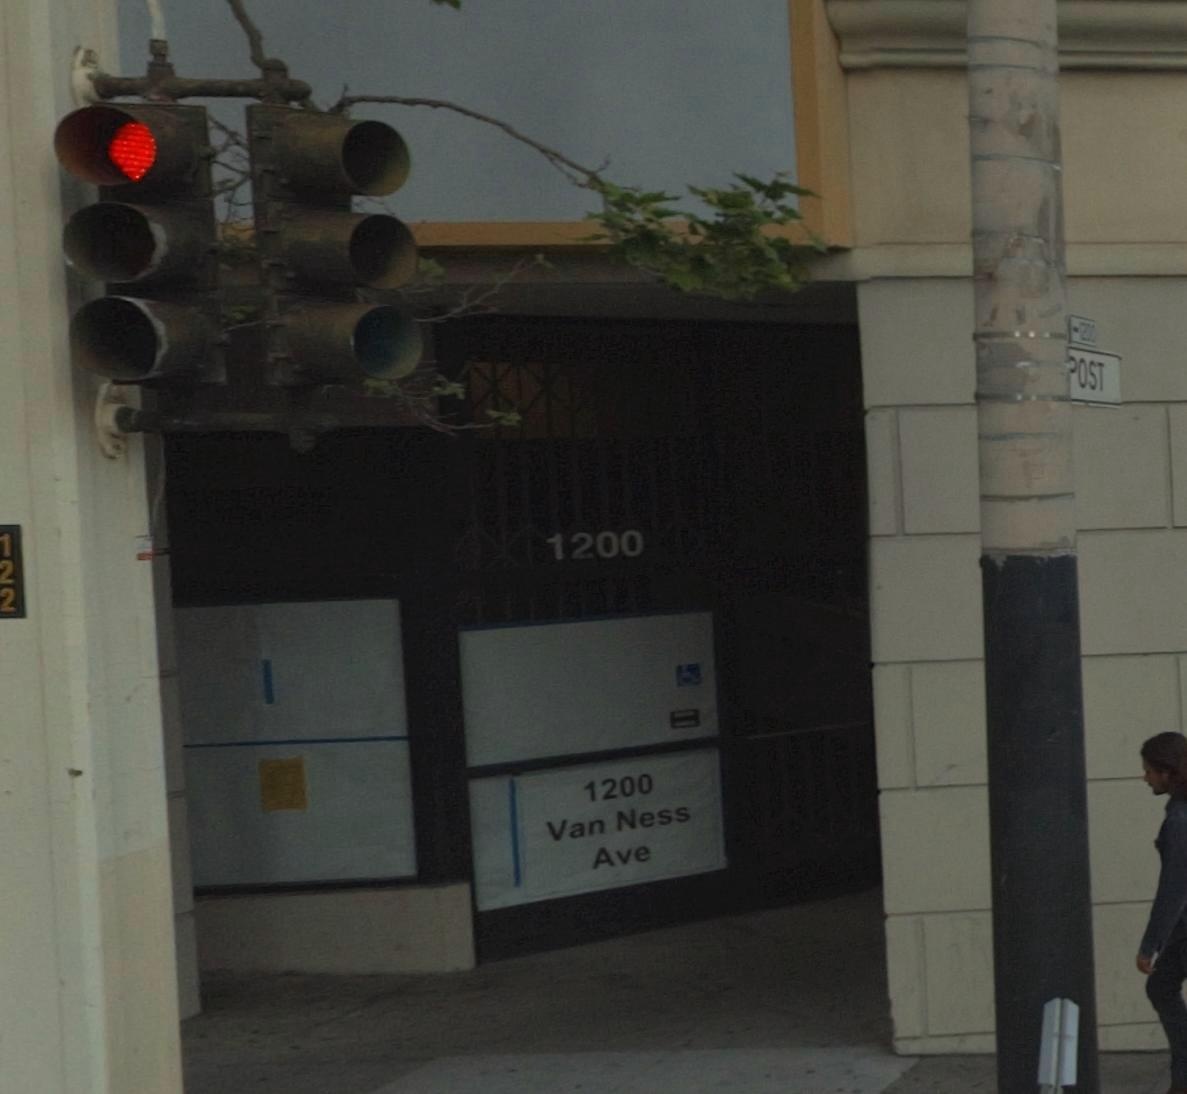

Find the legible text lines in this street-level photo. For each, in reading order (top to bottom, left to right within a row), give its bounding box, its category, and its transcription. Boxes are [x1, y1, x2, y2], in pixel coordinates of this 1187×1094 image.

[1069, 320, 1097, 345] StreetNumberRange: <-1200
[1077, 355, 1106, 393] StreetName: OST
[544, 528, 646, 562] StreetNumber: 1200
[0, 530, 16, 612] None: 122
[583, 772, 655, 803] StreetNumber: 1200
[544, 806, 692, 843] StreetName: Van Ness
[591, 844, 652, 871] StreetName: Ave